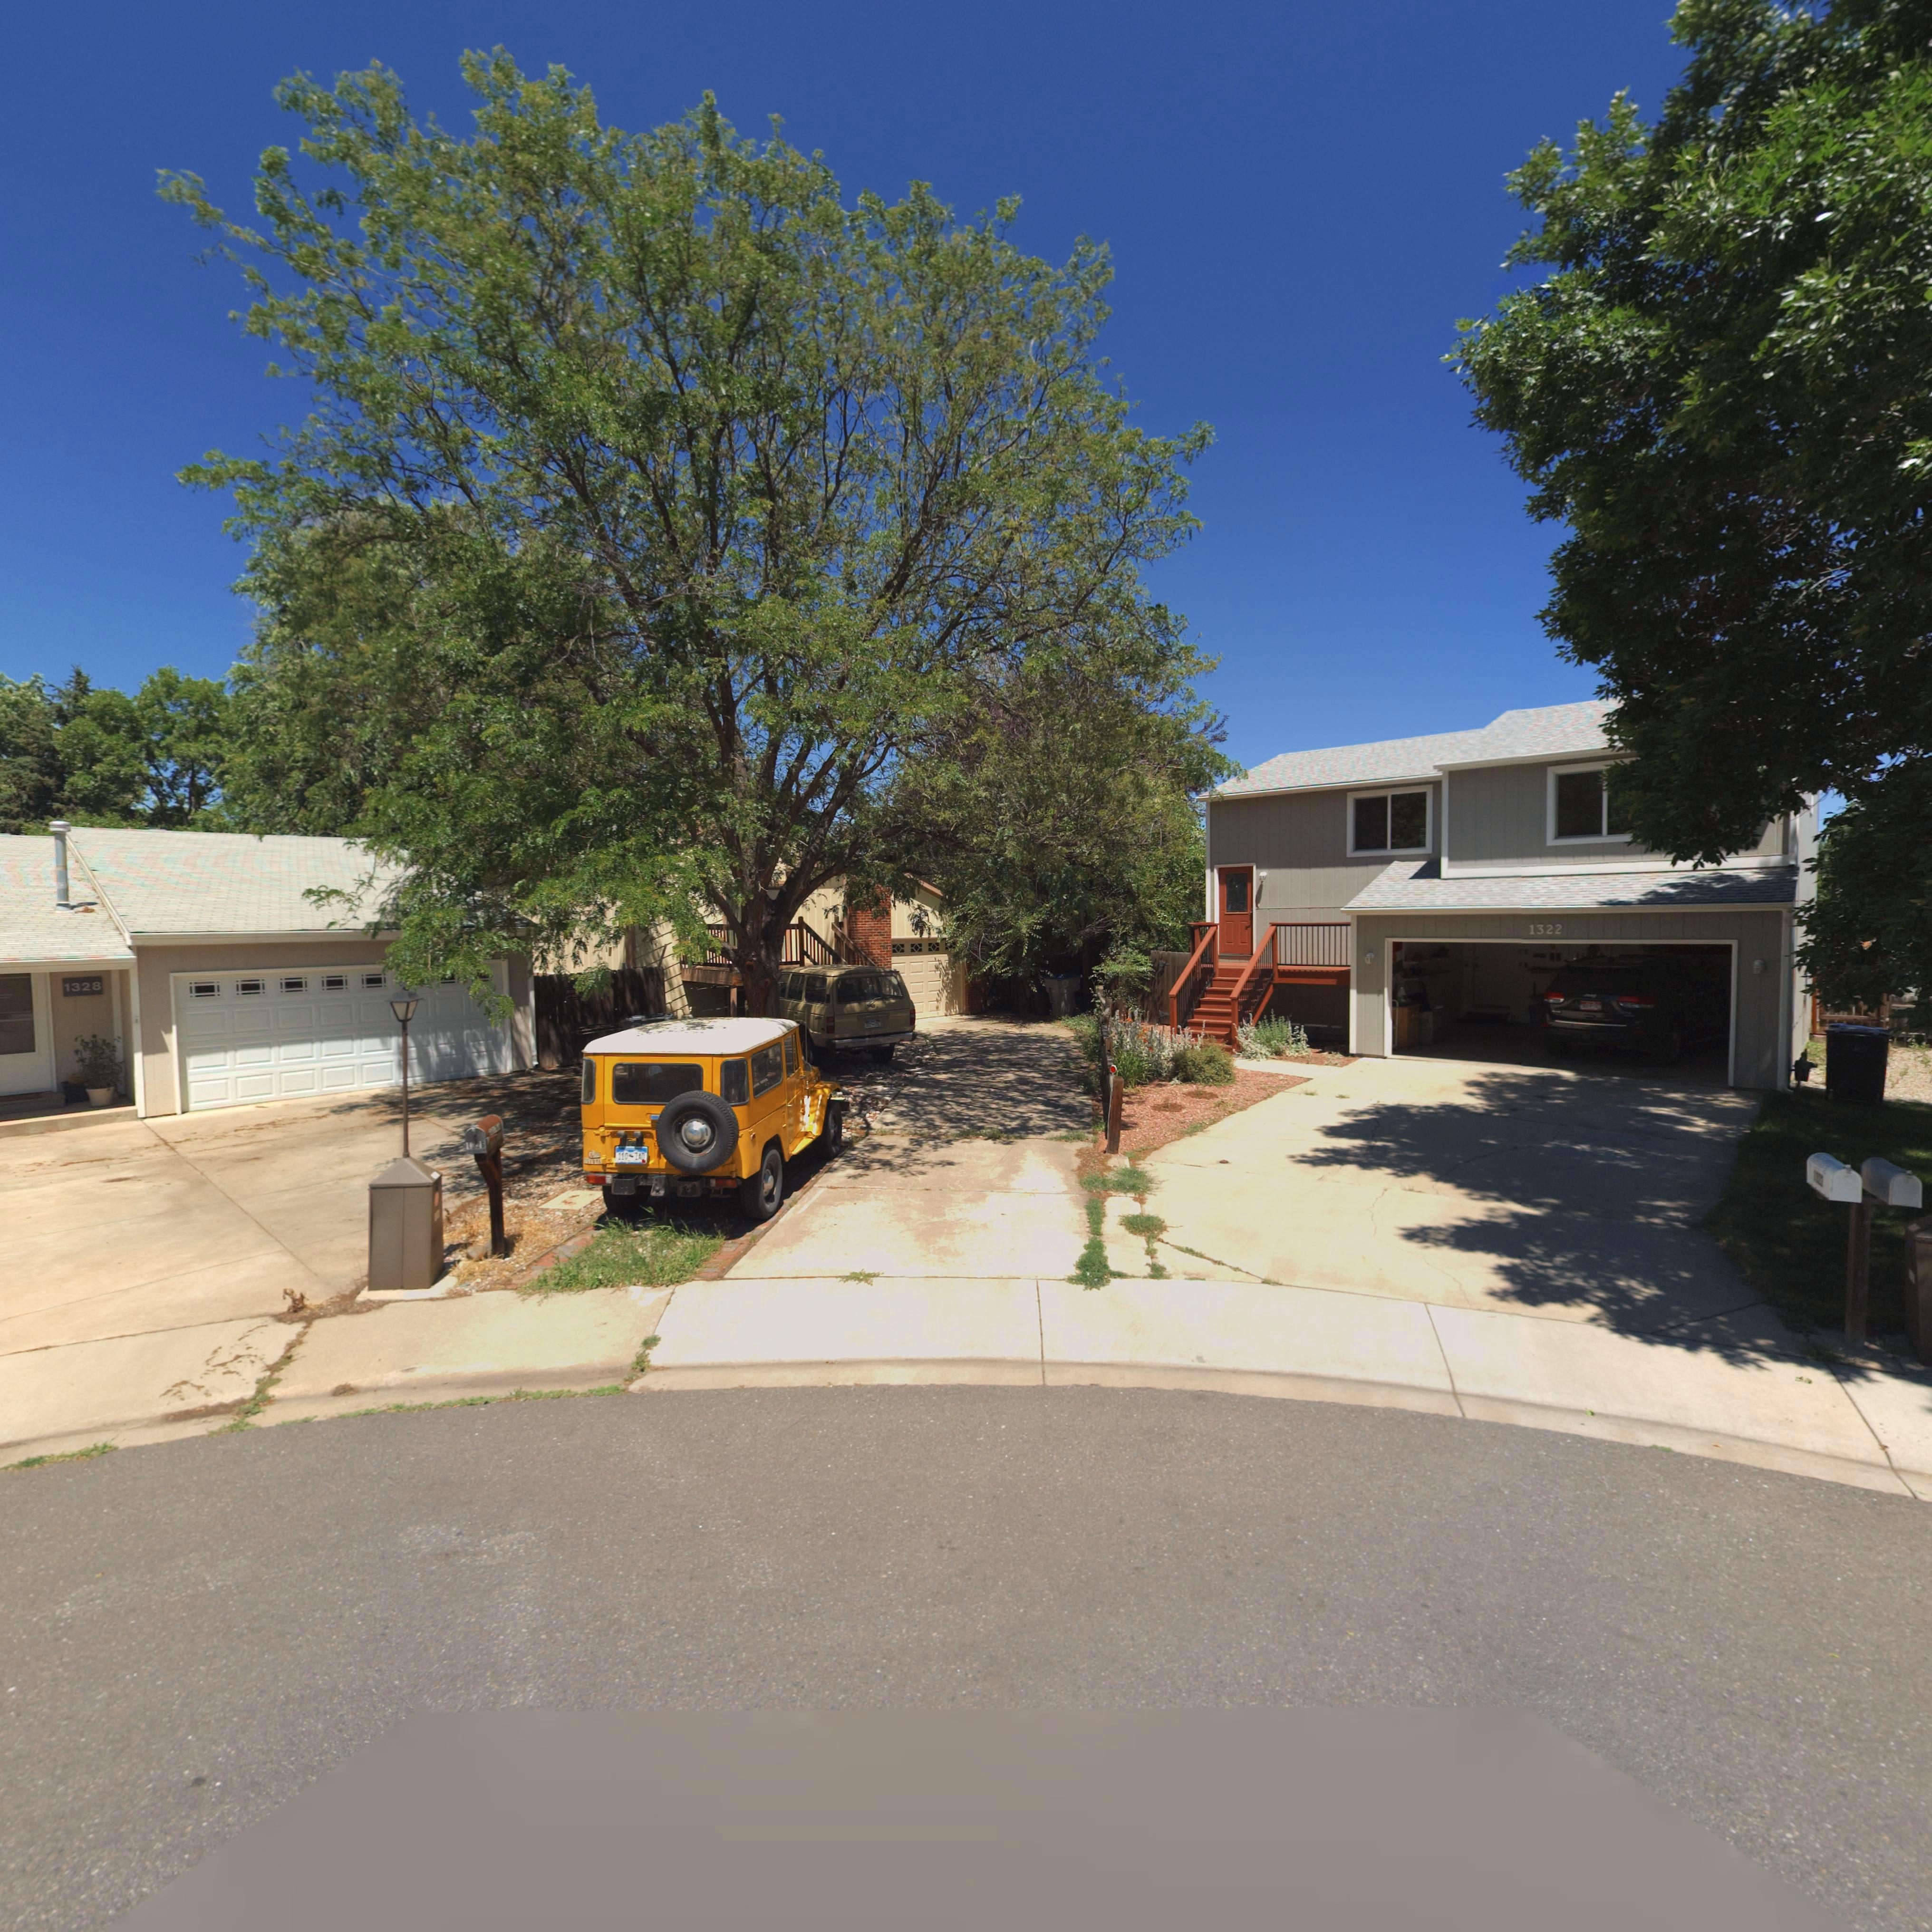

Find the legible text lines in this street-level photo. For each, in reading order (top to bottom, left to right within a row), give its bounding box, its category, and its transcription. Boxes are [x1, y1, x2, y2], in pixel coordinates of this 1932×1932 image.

[1529, 924, 1562, 934] StreetNumber: 1322
[65, 981, 101, 992] StreetNumber: 1328
[468, 1140, 485, 1148] StreetNumber: 132*